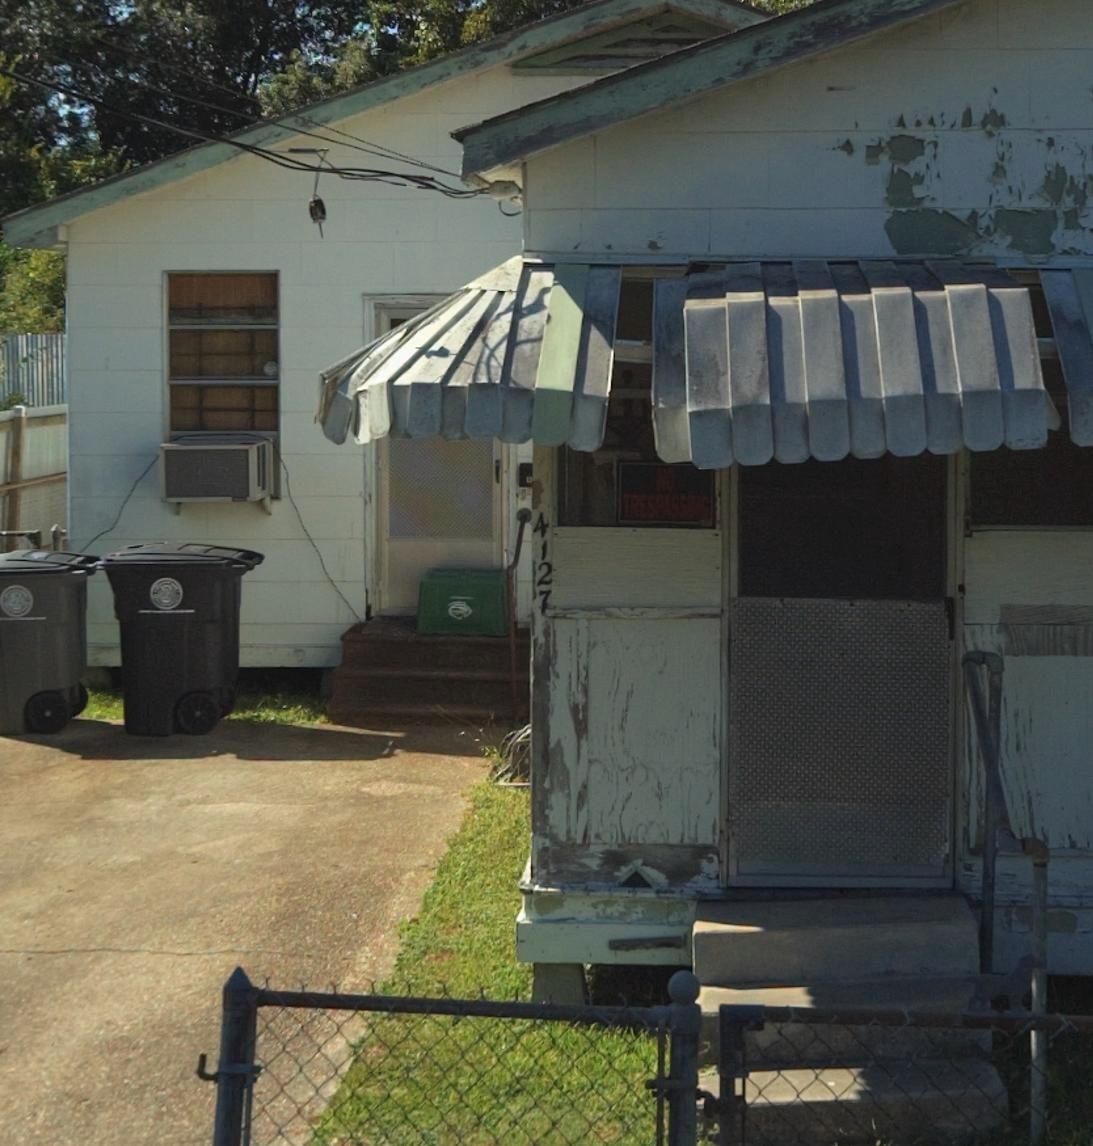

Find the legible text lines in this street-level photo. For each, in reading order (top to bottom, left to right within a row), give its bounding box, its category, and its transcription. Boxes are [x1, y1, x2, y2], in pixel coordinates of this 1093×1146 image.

[654, 464, 678, 493] None: NO
[621, 491, 713, 522] None: TRESPASSING
[531, 511, 554, 616] StreetNumber: 4127